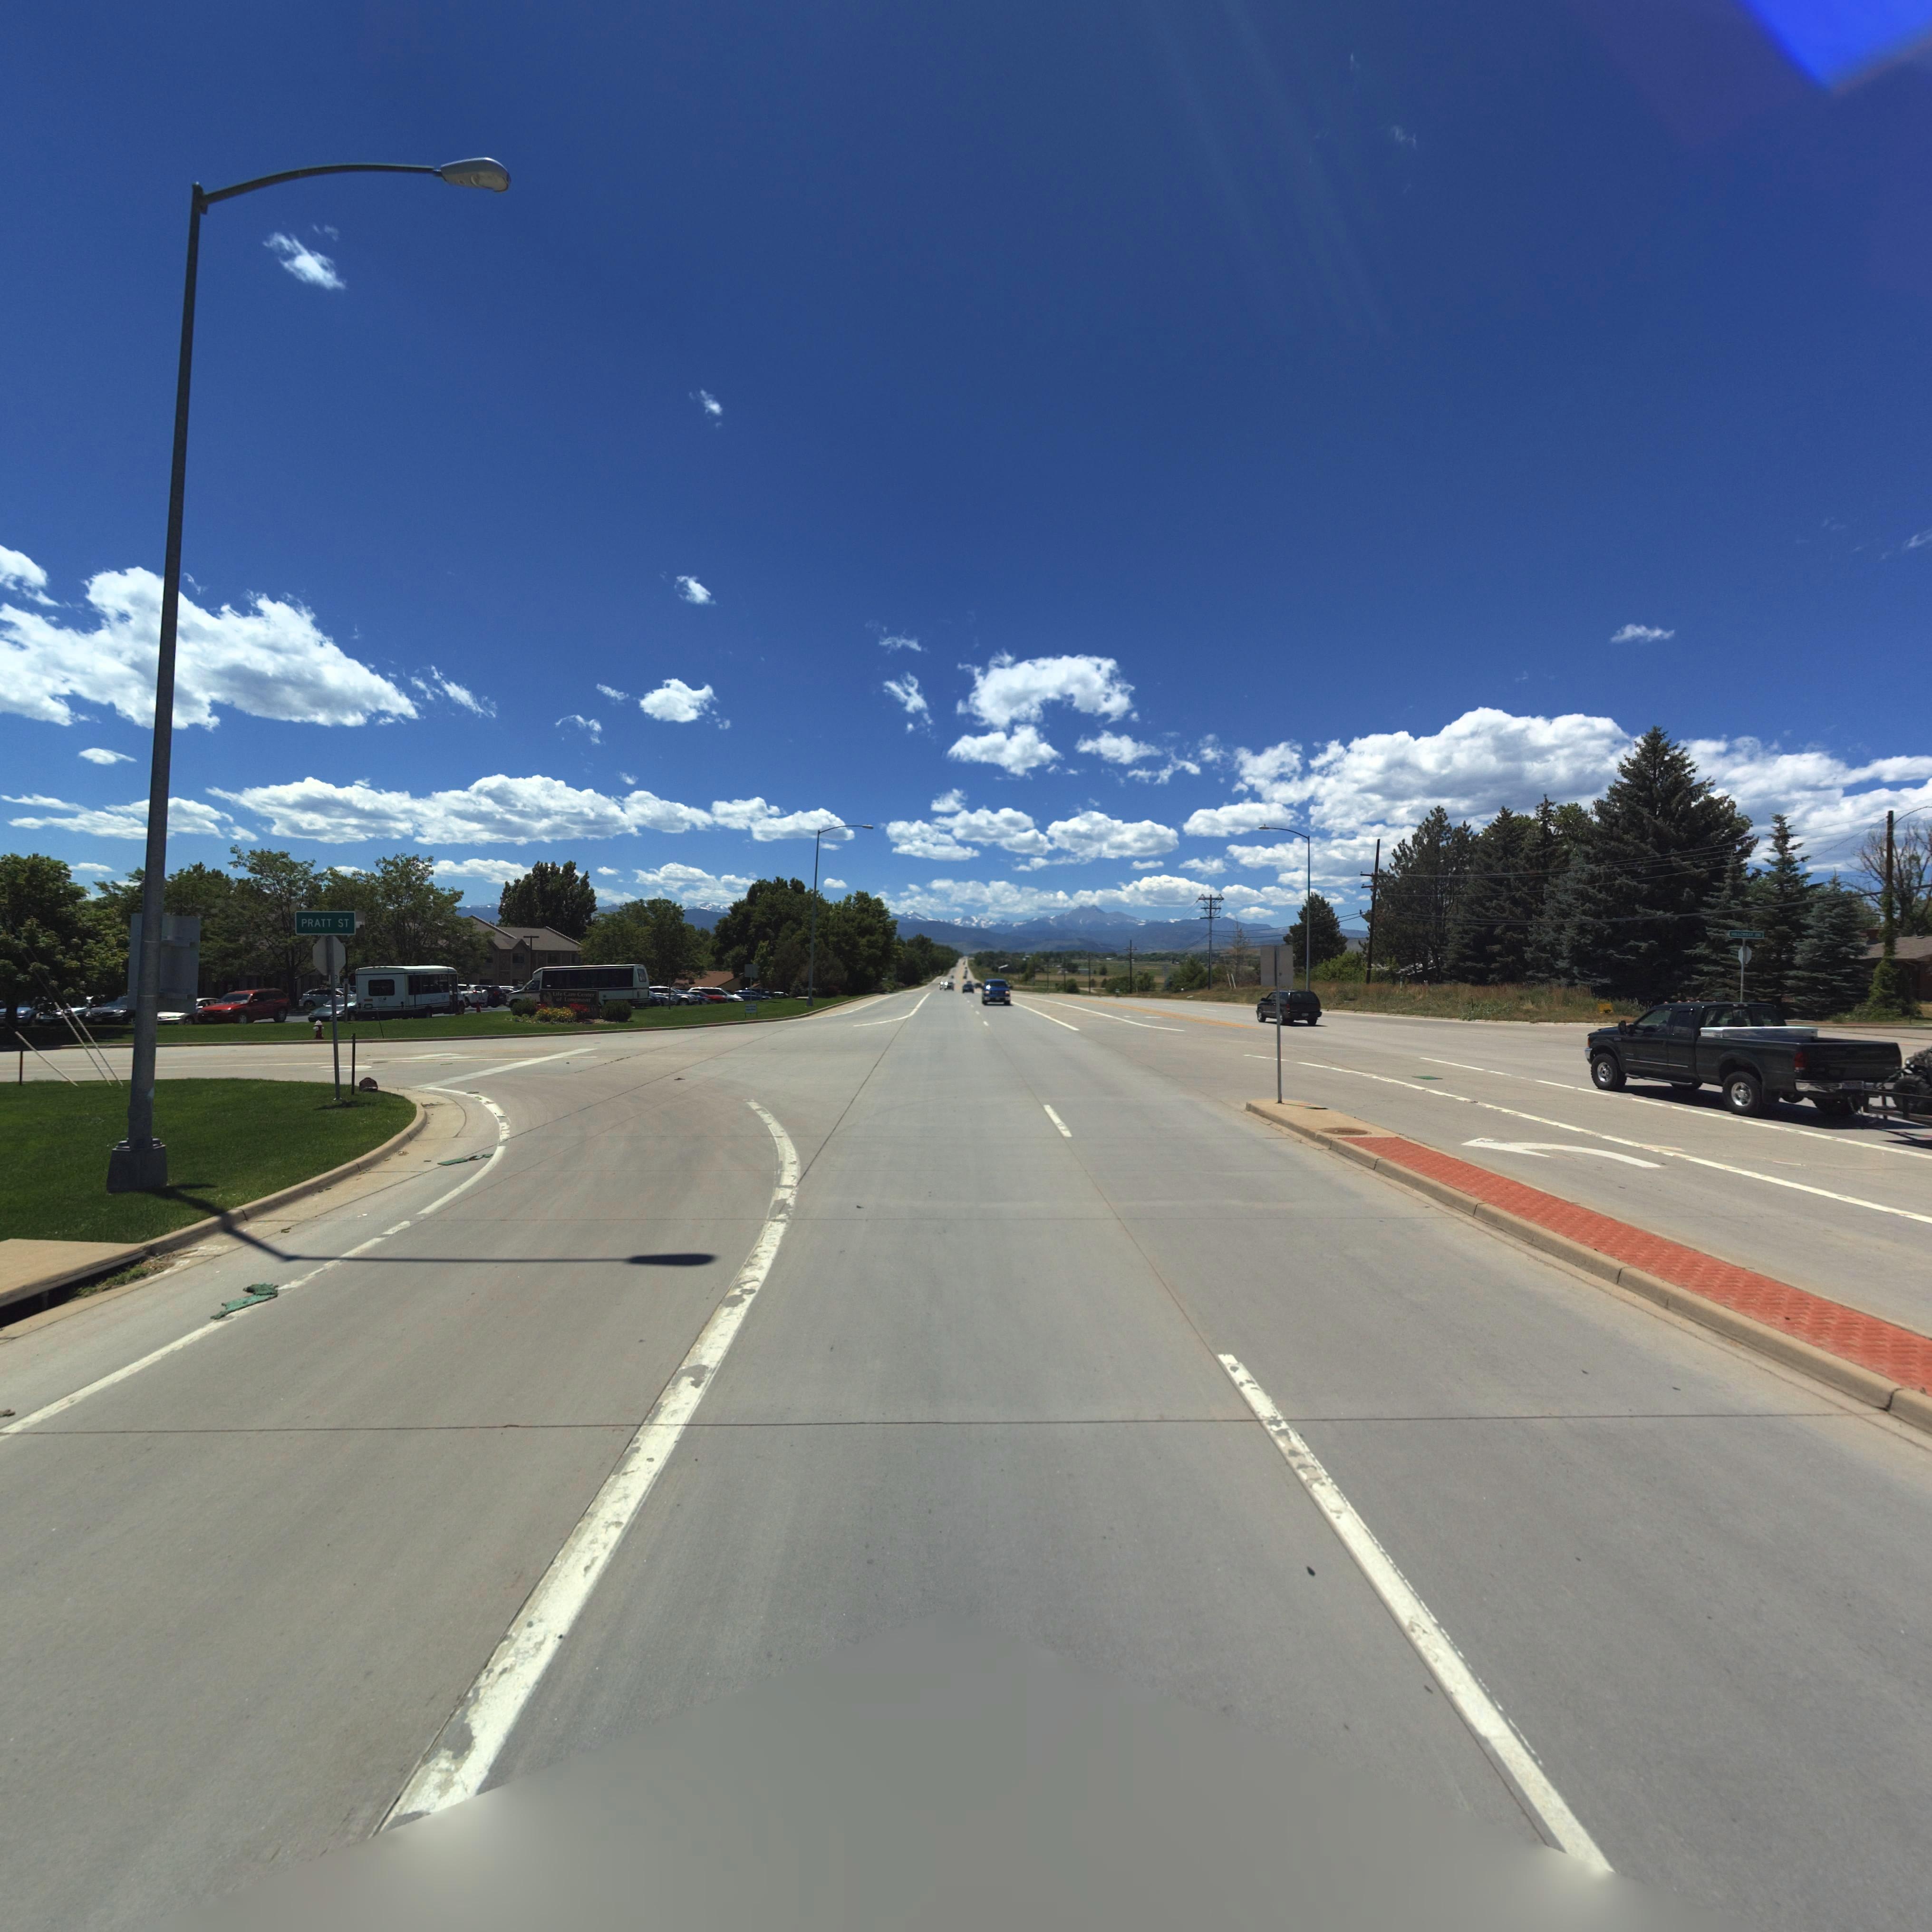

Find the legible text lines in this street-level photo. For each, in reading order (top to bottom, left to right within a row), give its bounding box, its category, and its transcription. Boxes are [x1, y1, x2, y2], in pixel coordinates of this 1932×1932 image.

[301, 918, 350, 927] StreetName: PRATT ST
[1731, 932, 1761, 937] StreetName: HILLCREST DR
[552, 991, 596, 997] BusinessName: Life Care Center
[556, 996, 591, 1004] BusinessName: of Longmont